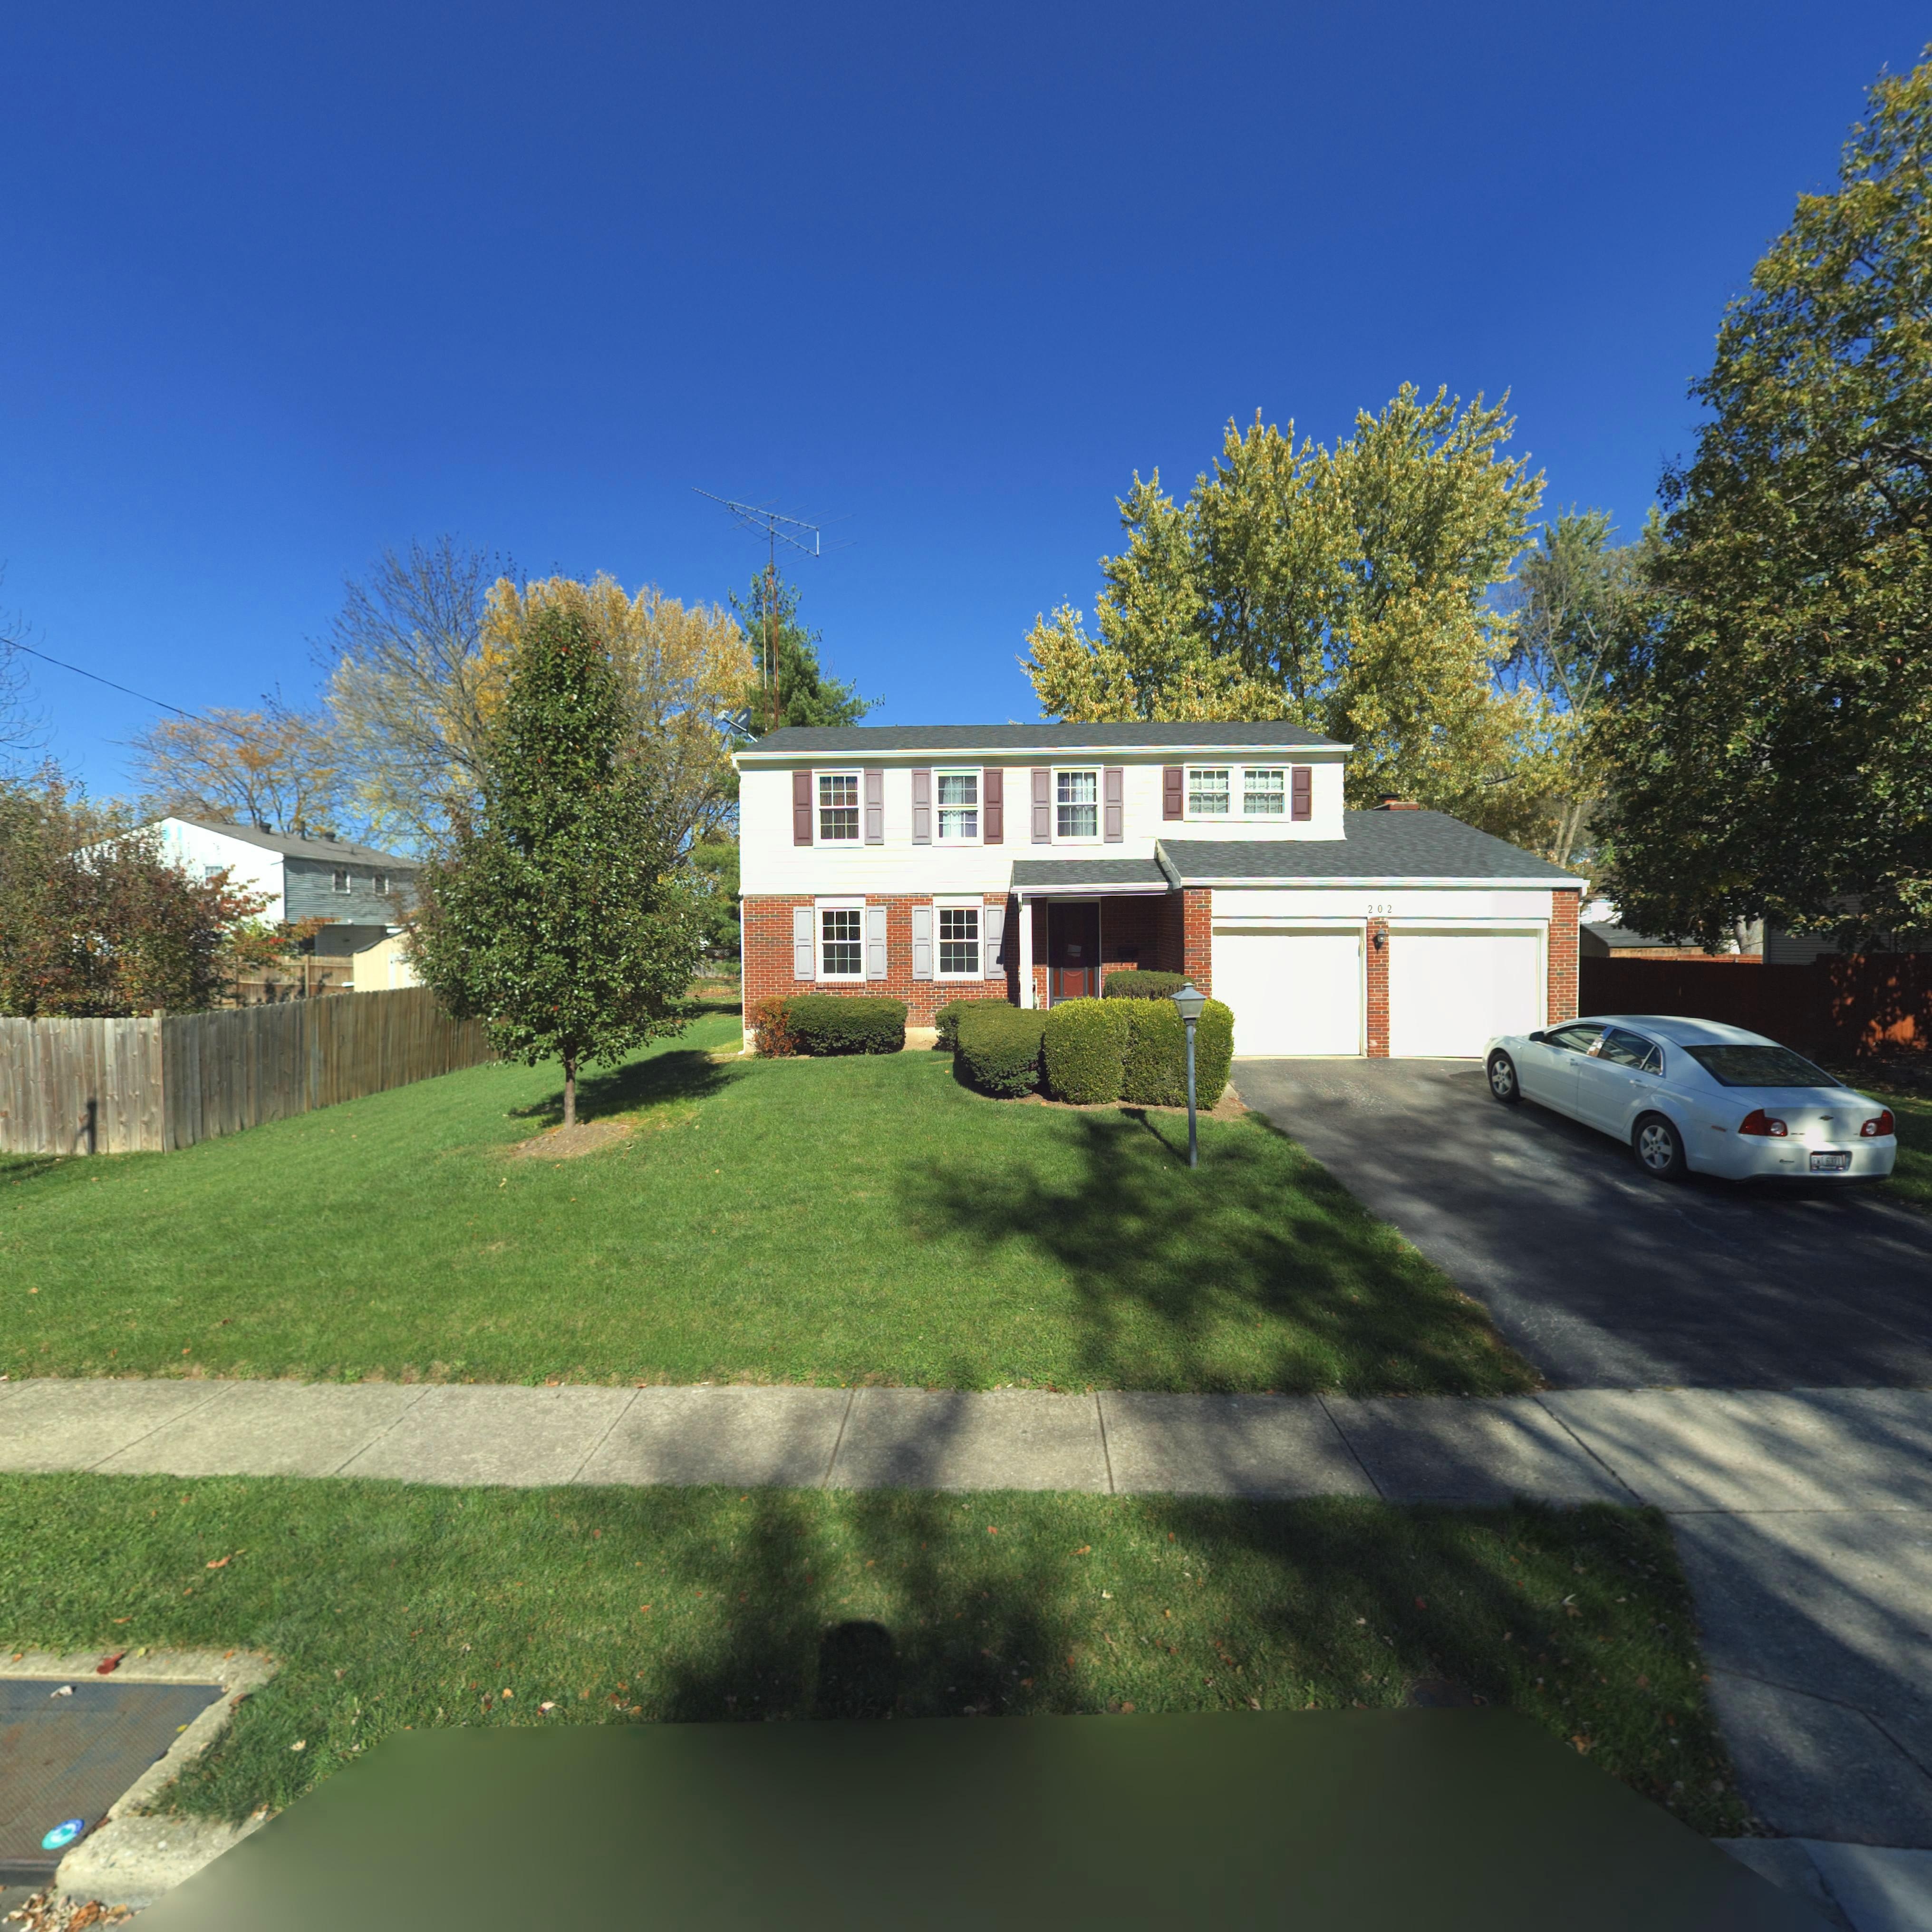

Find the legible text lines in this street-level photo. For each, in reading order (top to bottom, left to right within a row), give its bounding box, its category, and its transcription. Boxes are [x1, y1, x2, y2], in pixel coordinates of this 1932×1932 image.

[1366, 903, 1393, 915] StreetNumber: 202